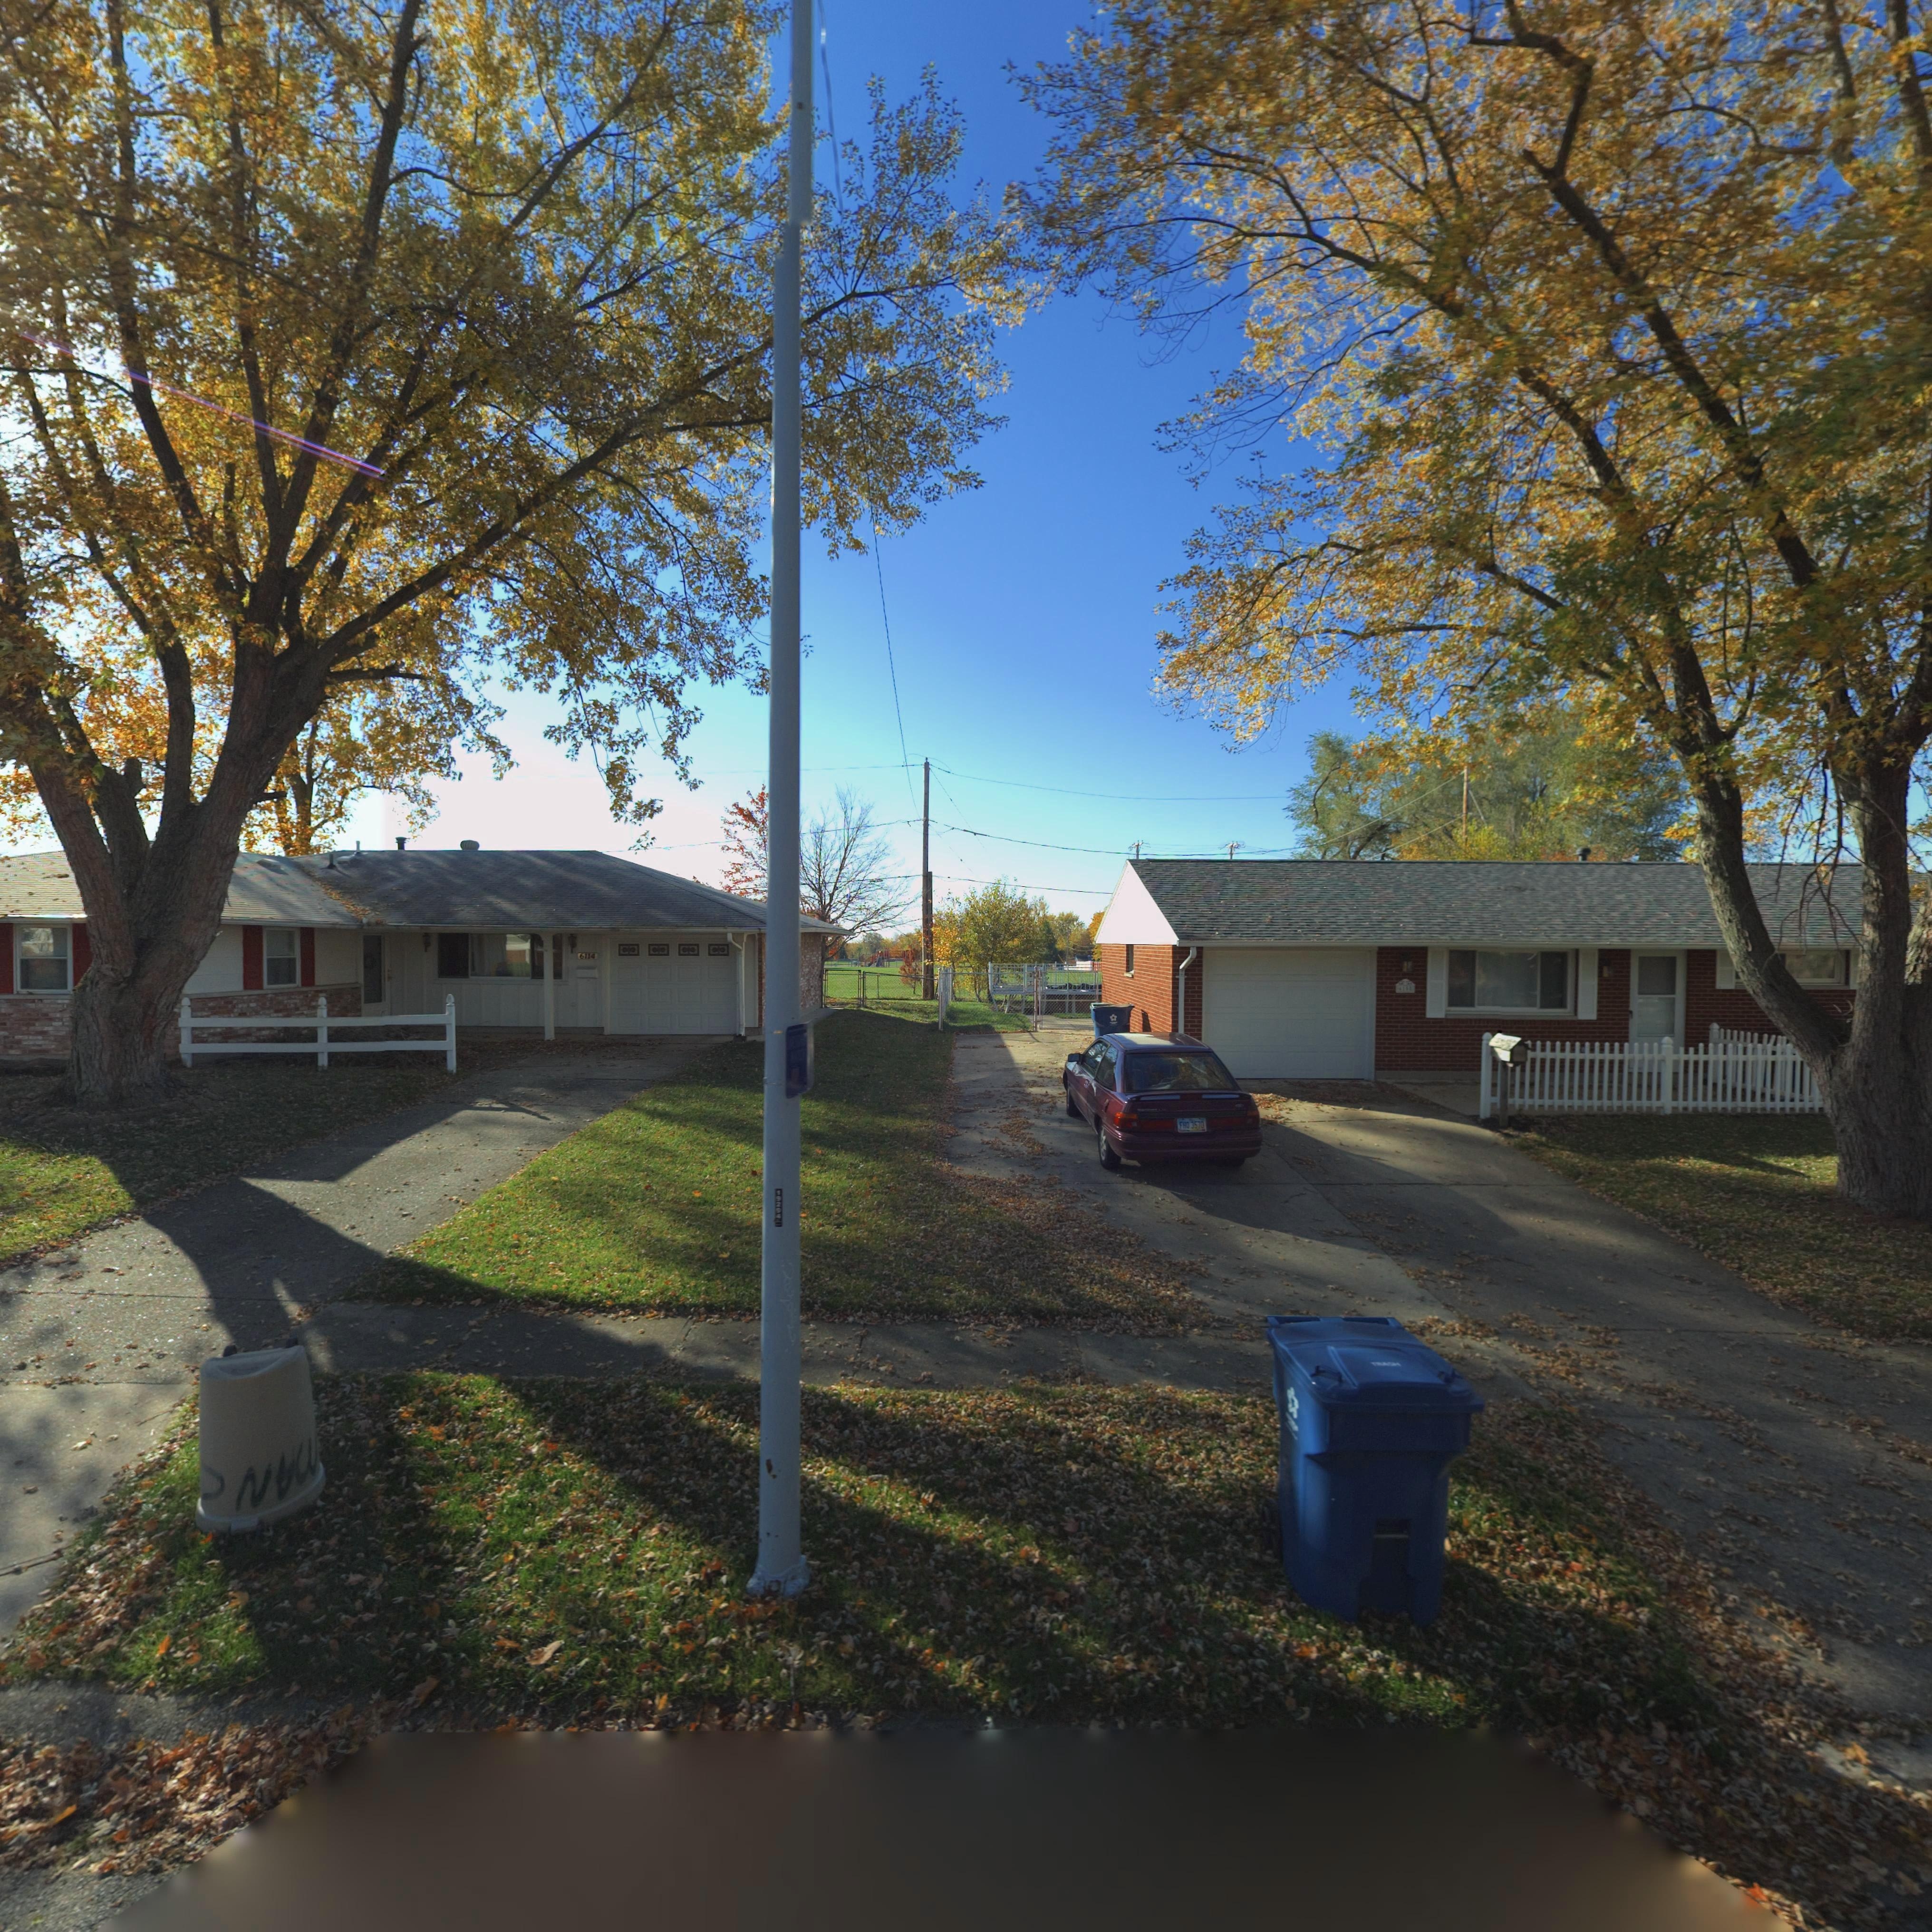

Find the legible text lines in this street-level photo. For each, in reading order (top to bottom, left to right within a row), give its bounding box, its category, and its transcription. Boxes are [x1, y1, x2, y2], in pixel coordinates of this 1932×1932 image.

[579, 952, 596, 960] StreetNumber: 6114
[1397, 985, 1413, 992] StreetNumber: 61**